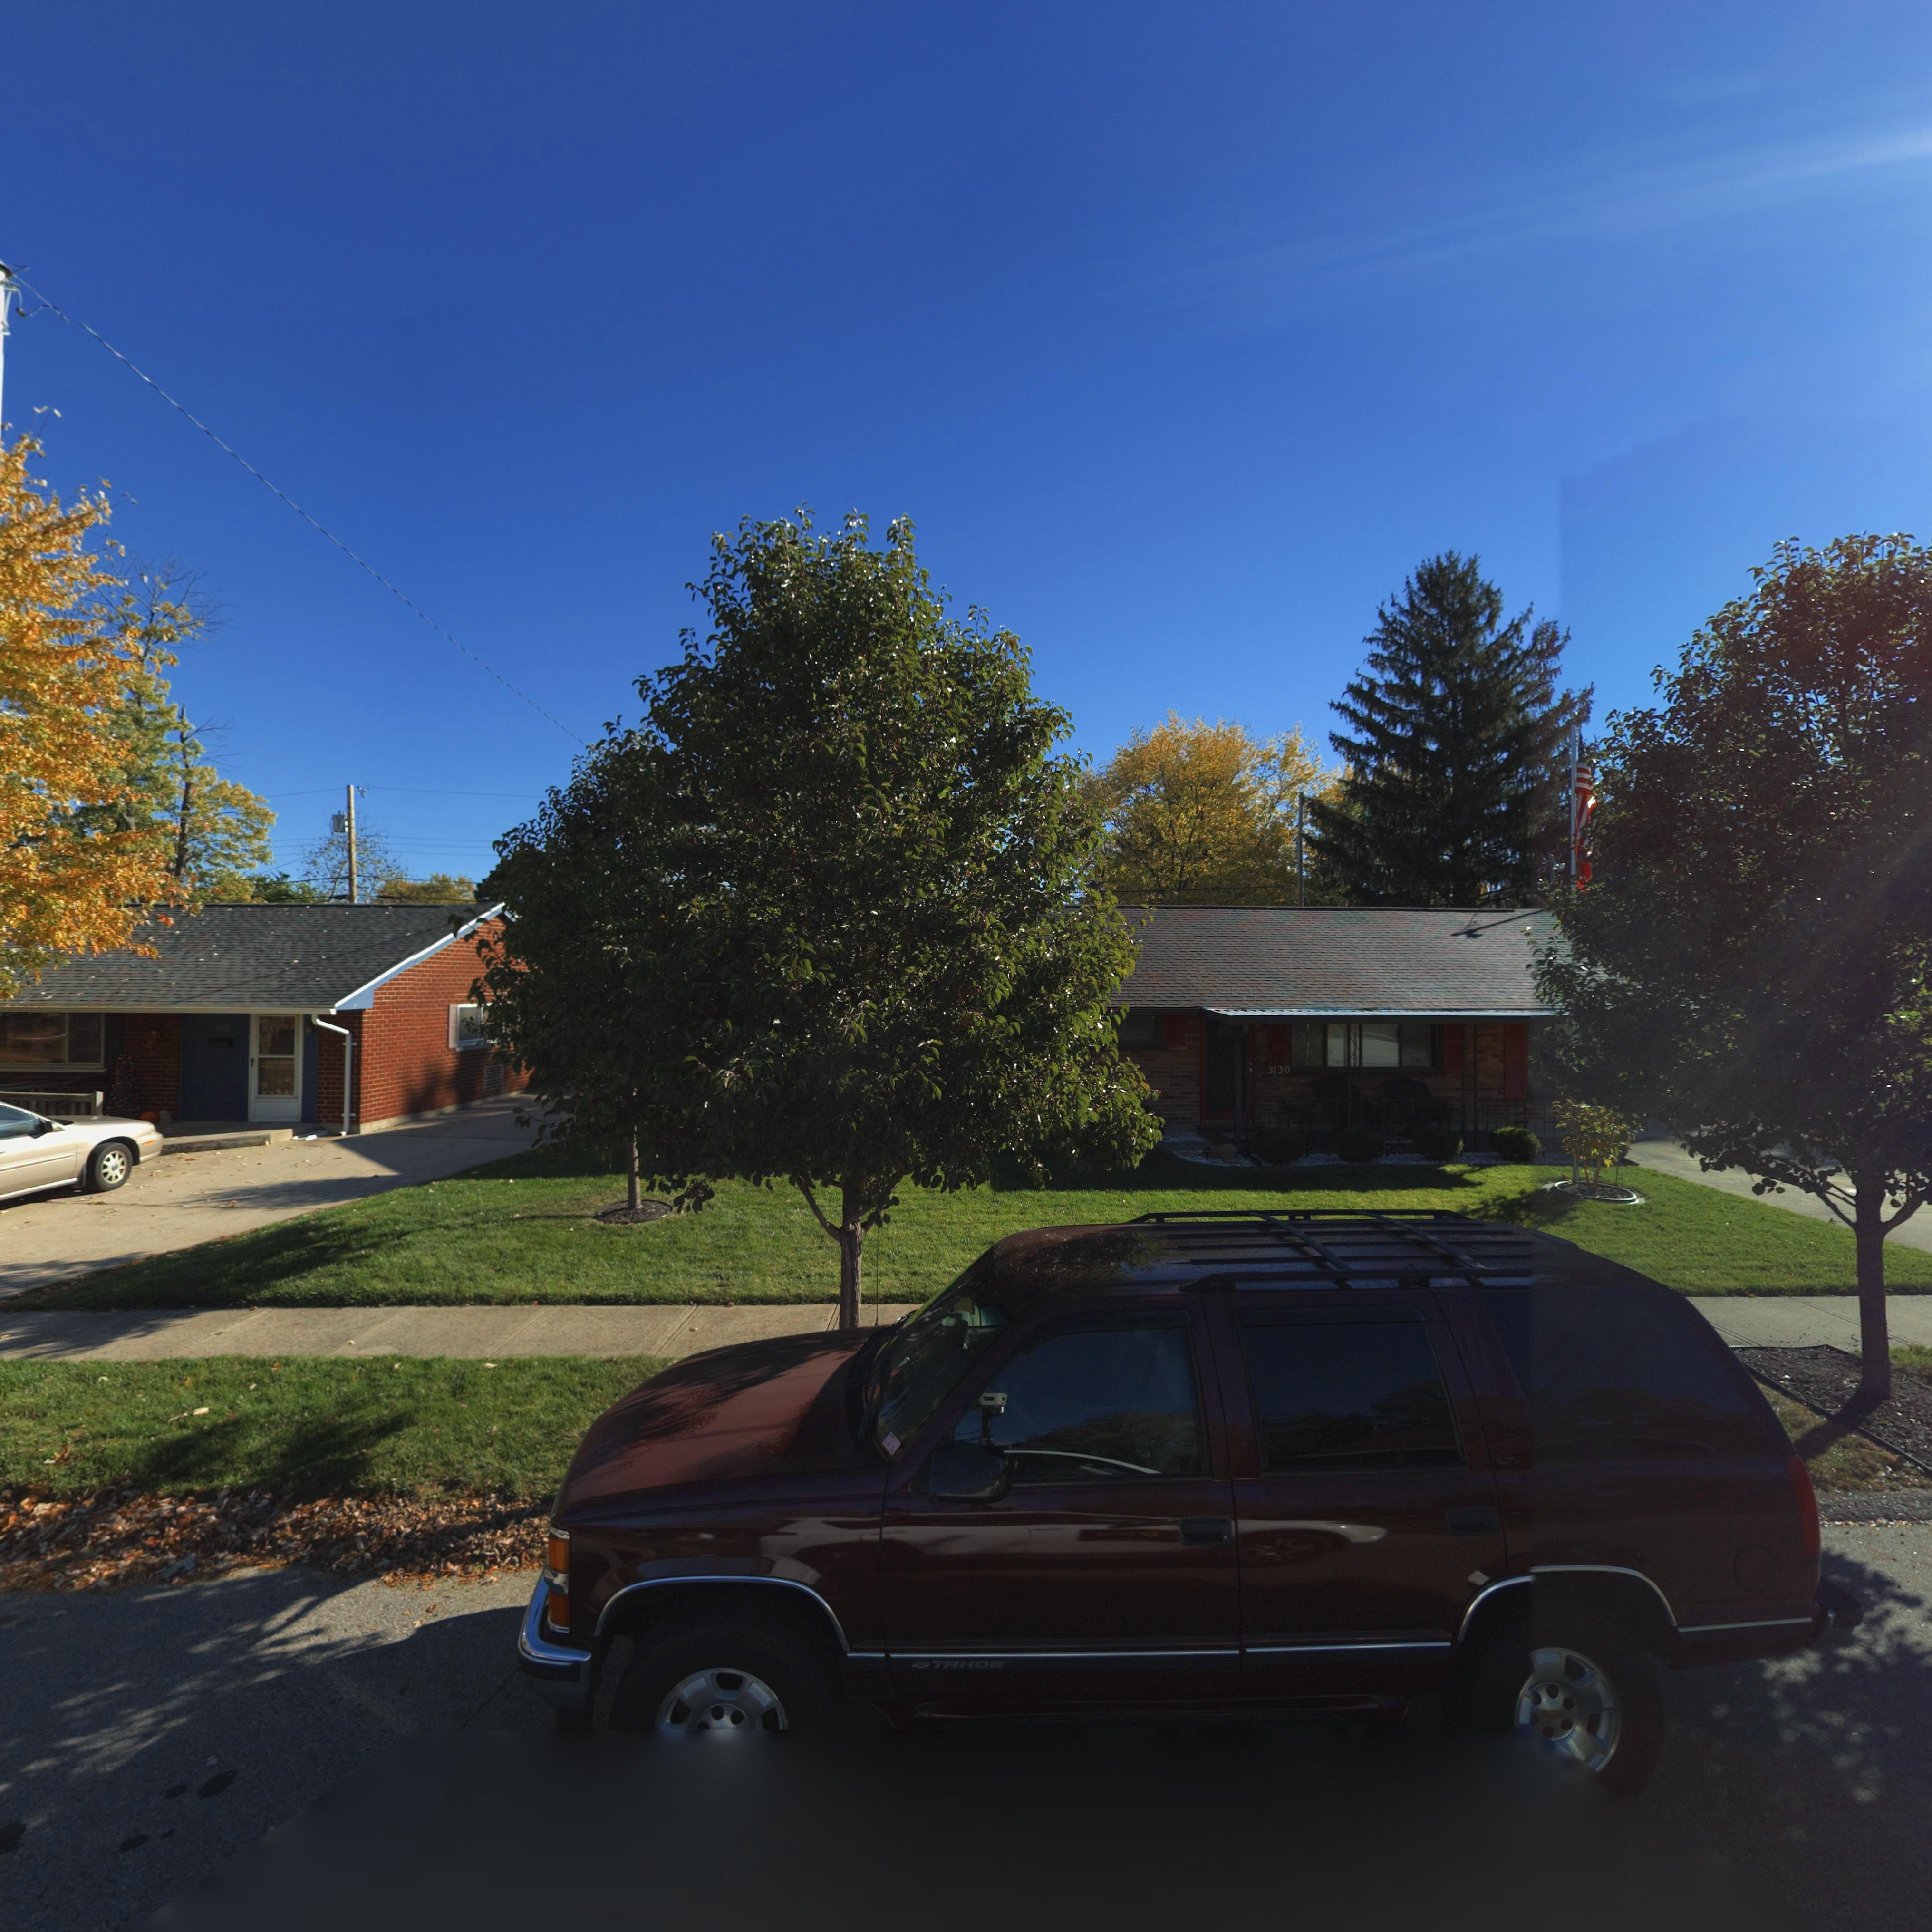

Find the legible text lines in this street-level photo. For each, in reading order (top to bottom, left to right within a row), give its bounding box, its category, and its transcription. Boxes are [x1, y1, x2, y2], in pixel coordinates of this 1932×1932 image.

[213, 1024, 230, 1032] StreetNumber: 5120
[1266, 1065, 1291, 1074] StreetNumber: 5130